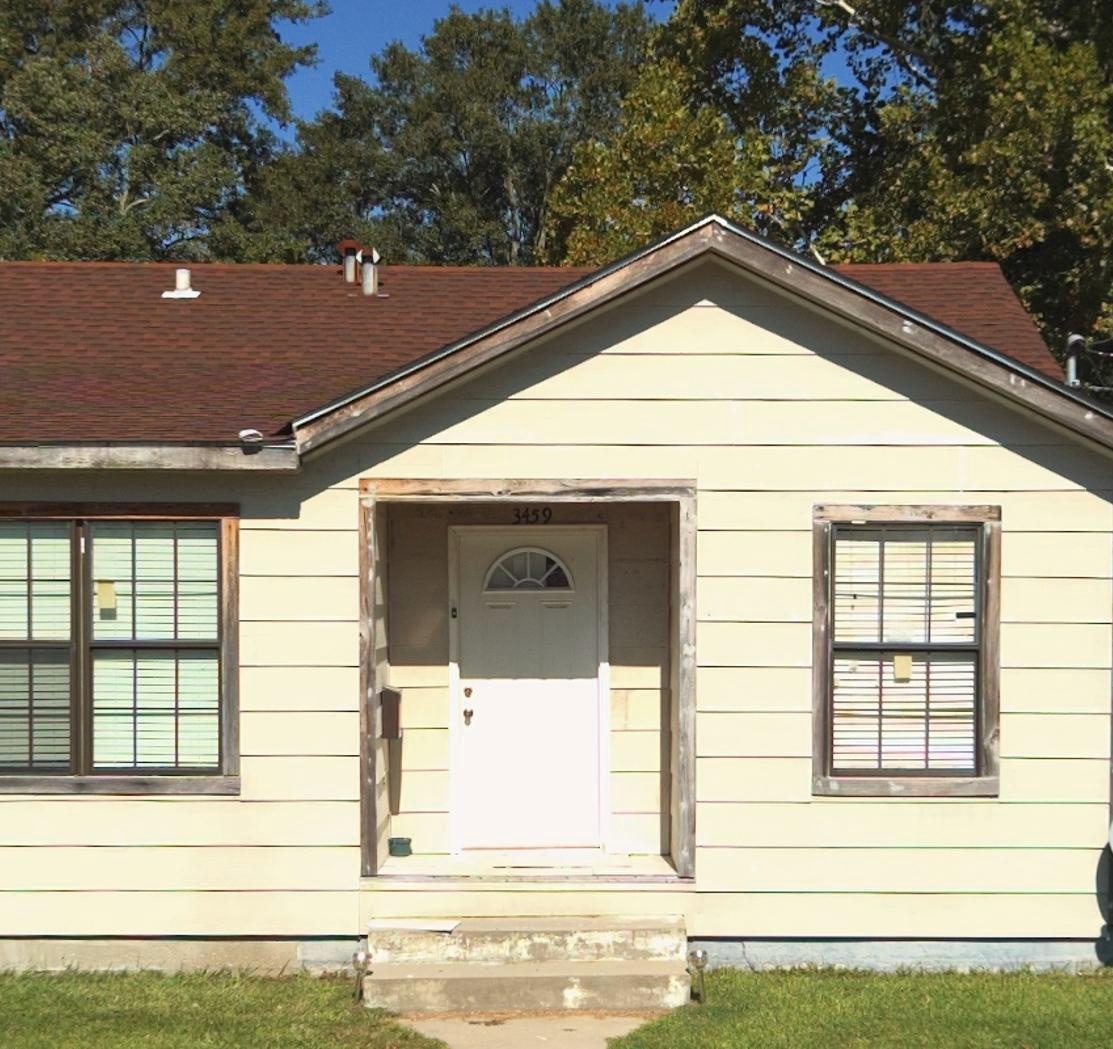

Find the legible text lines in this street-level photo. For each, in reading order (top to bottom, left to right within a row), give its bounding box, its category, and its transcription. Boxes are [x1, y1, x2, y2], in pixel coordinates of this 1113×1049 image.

[511, 506, 554, 525] StreetNumber: 3459